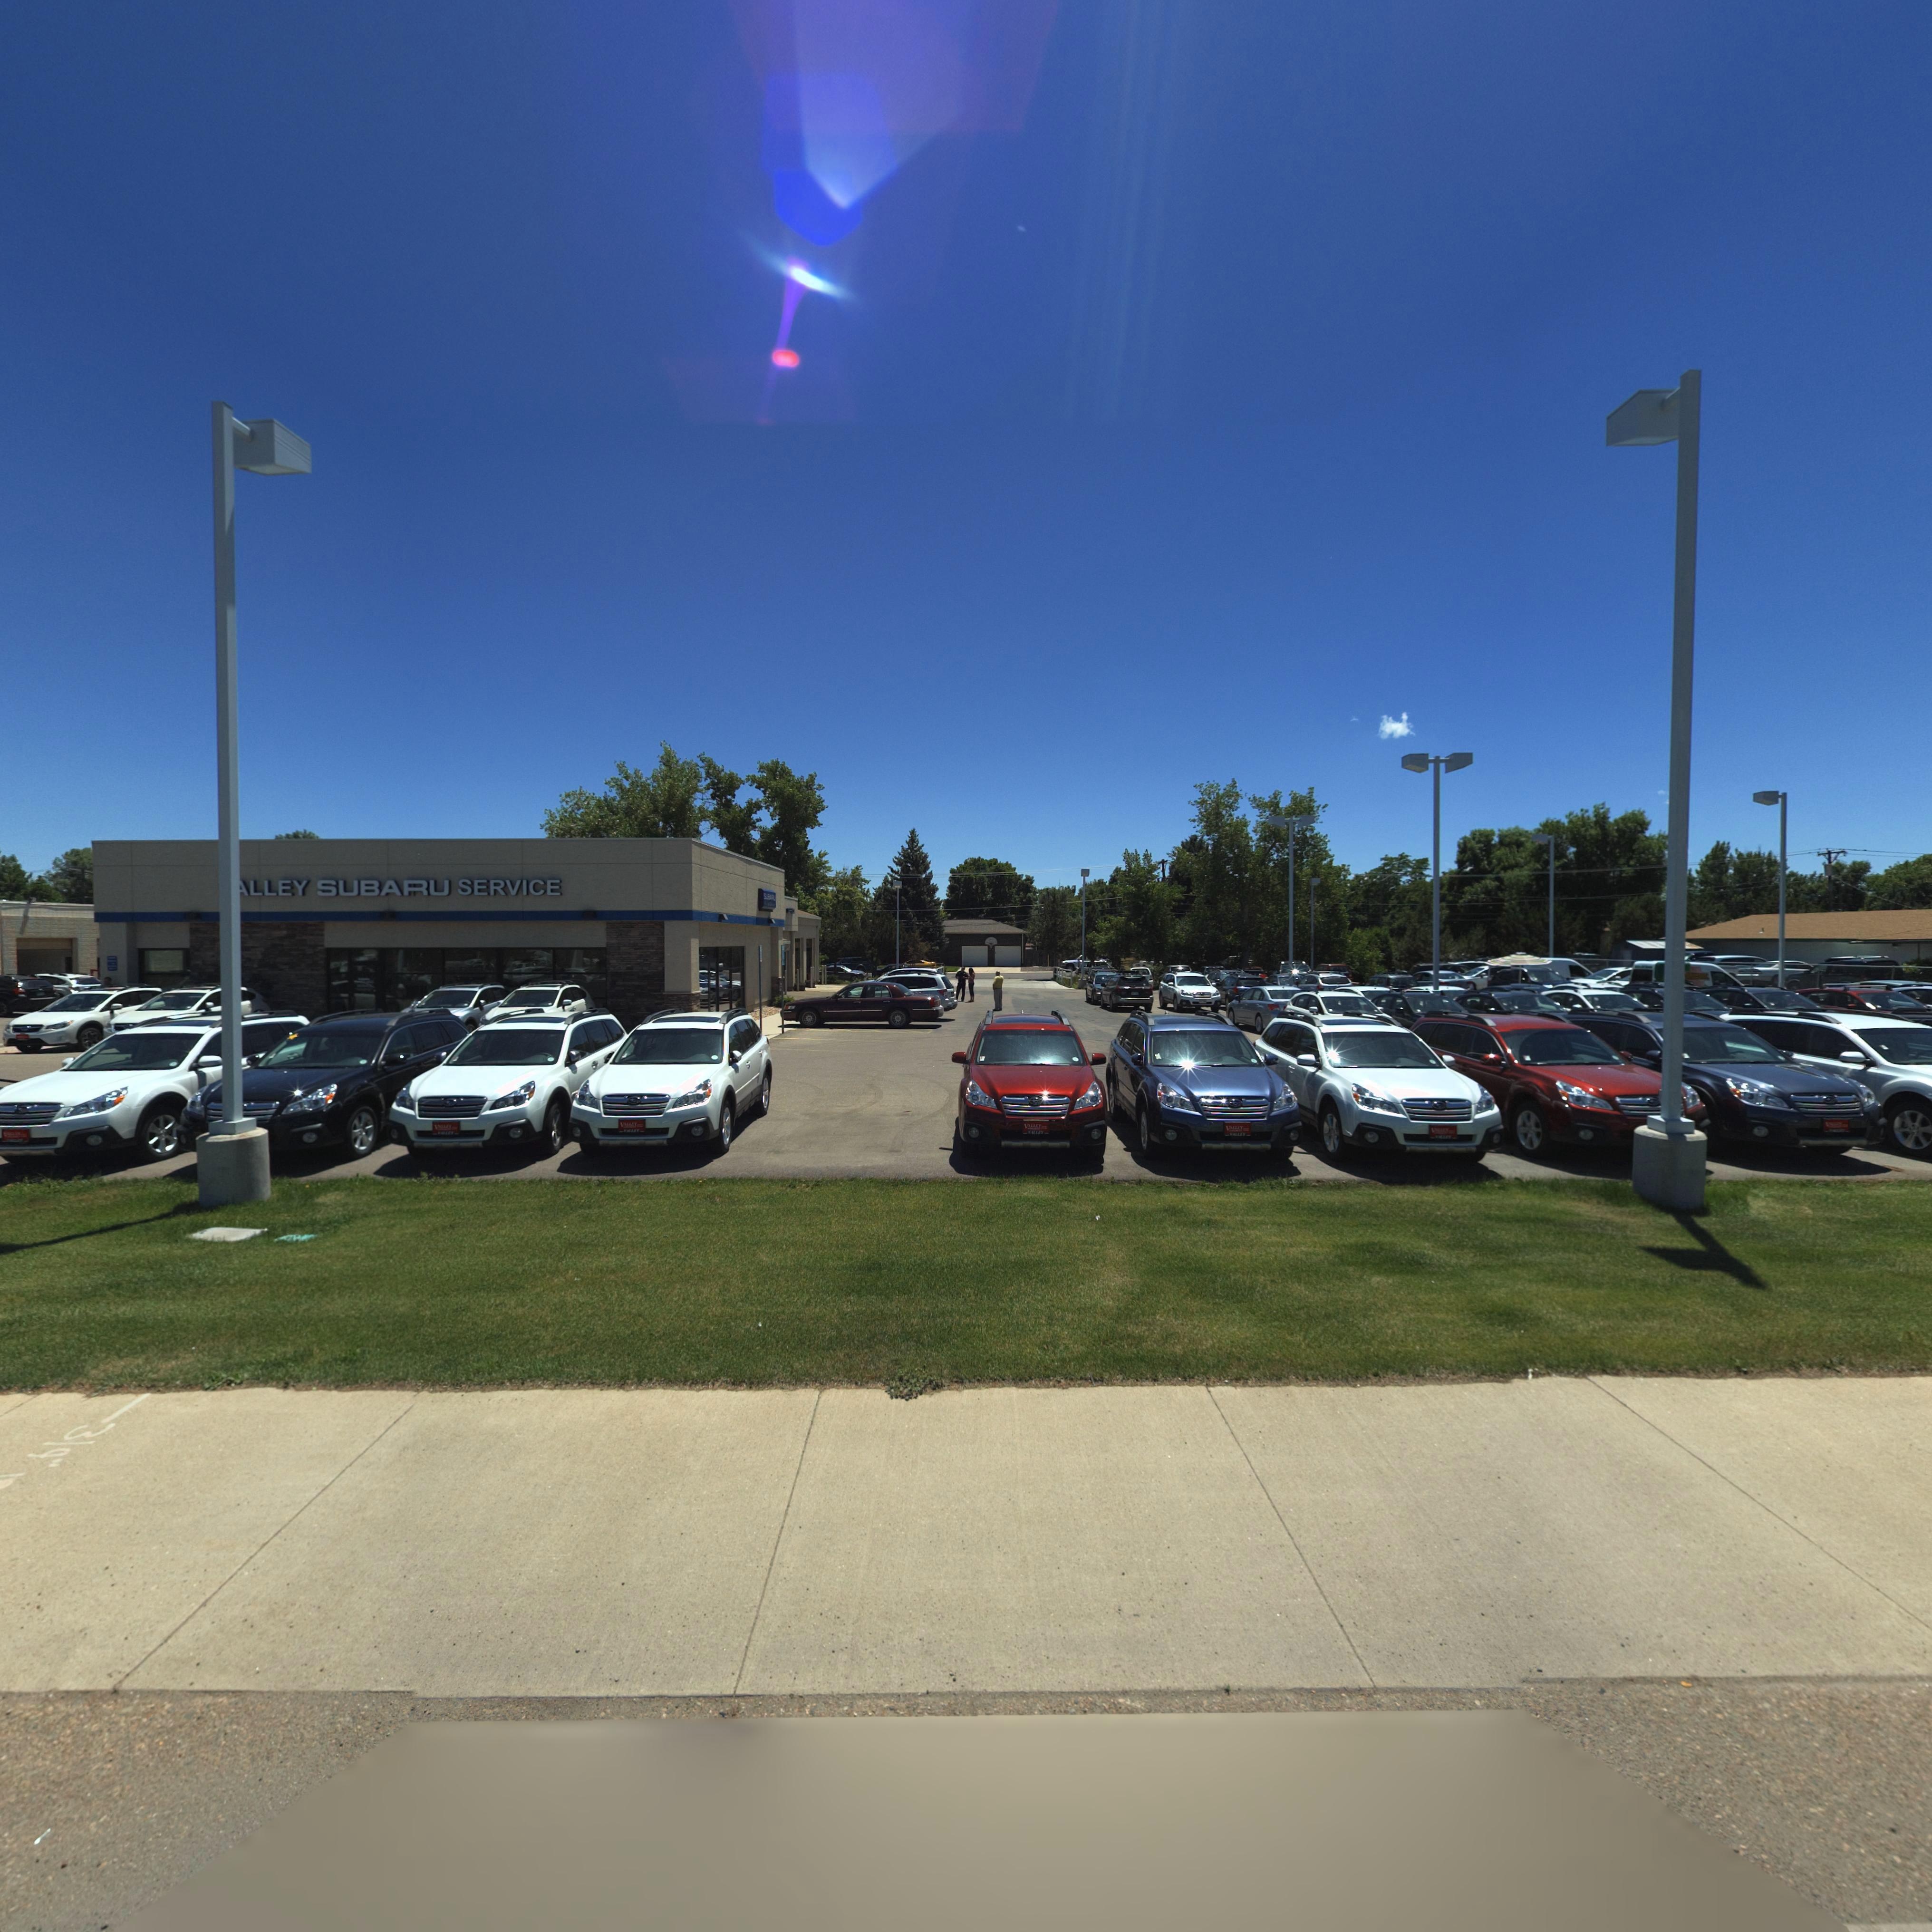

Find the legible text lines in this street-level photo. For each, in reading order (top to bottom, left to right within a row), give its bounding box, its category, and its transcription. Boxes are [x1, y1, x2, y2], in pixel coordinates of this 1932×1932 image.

[763, 892, 776, 901] BusinessName: SUB*R*